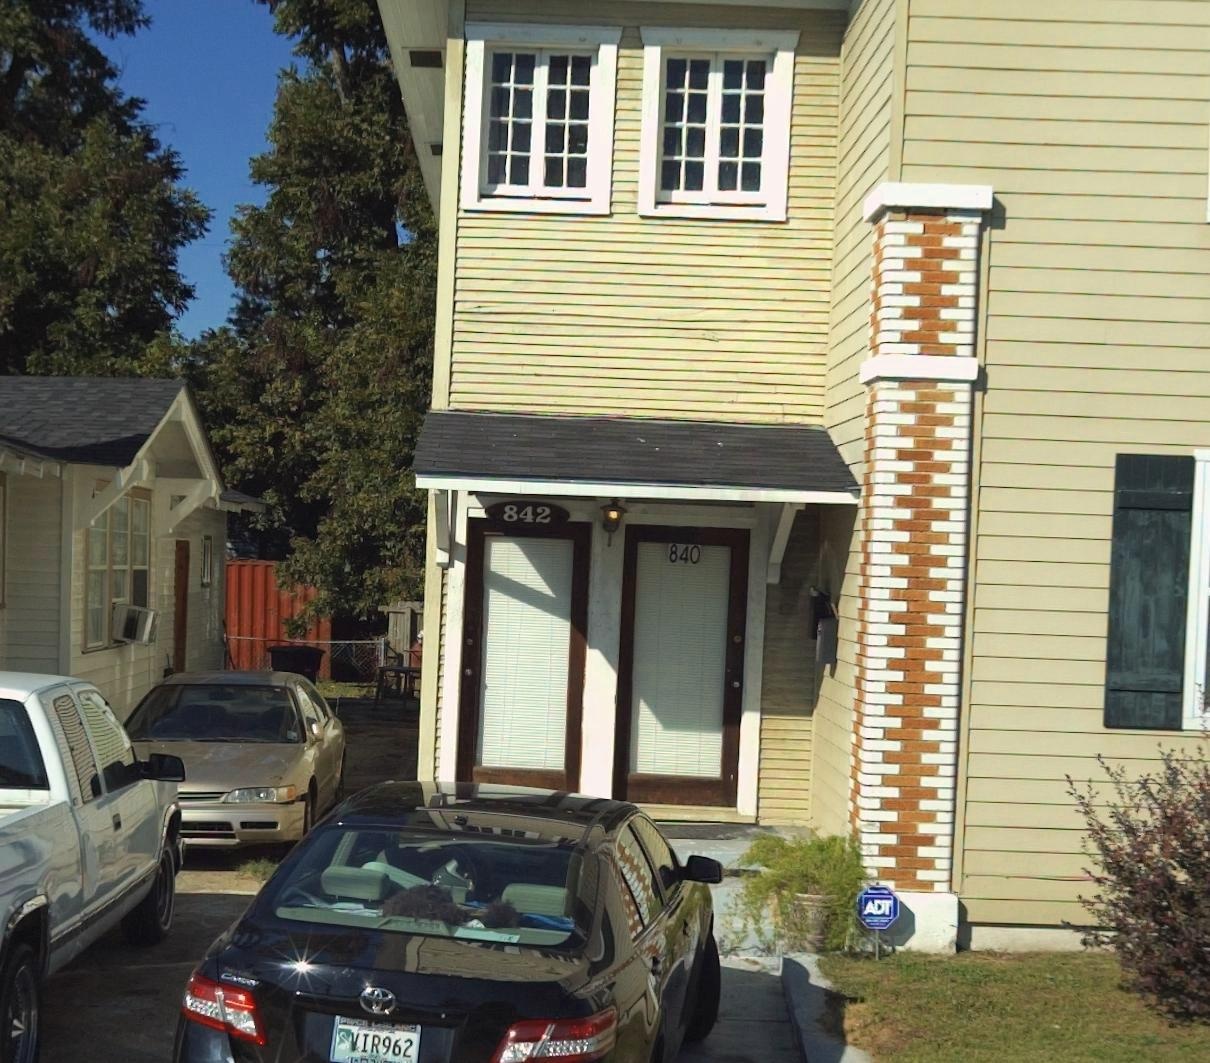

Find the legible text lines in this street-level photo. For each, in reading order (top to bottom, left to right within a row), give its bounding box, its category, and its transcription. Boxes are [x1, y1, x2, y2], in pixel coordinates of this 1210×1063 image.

[502, 503, 555, 526] StreetNumber: 842
[666, 542, 705, 567] StreetNumber: 840
[860, 898, 895, 918] None: ADT
[217, 969, 237, 983] None: C
[347, 1030, 418, 1061] None: VIR962